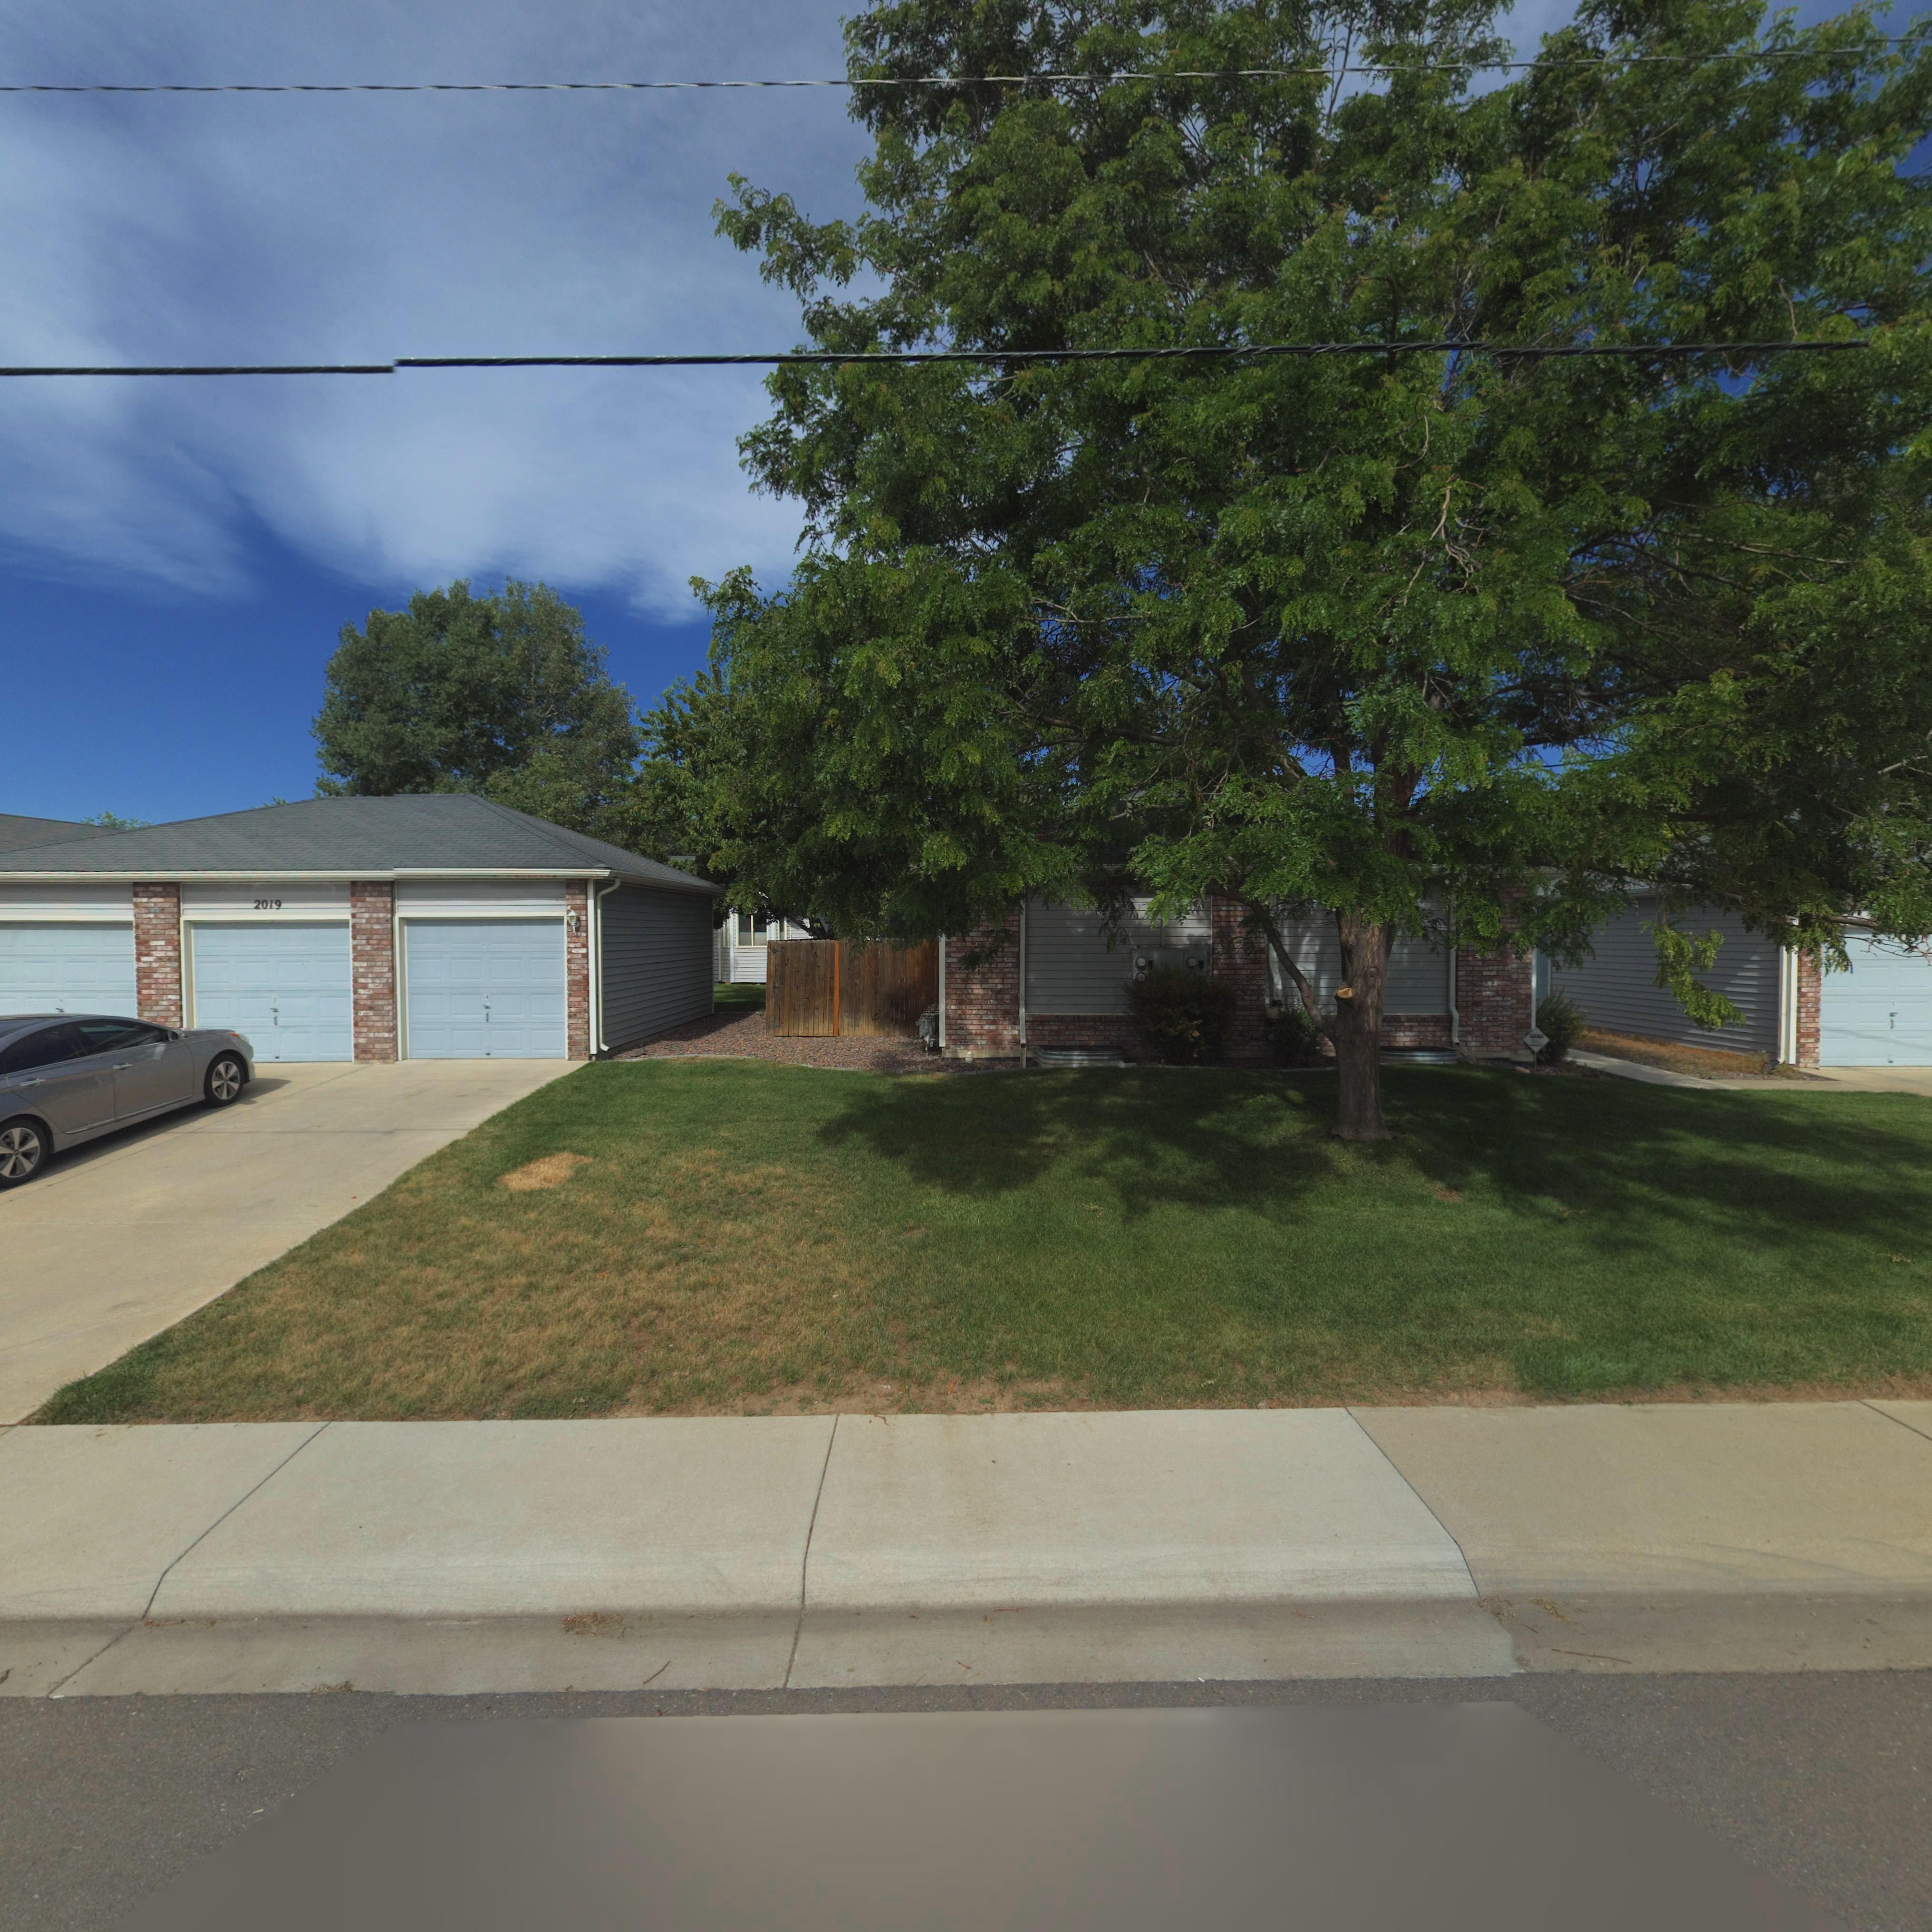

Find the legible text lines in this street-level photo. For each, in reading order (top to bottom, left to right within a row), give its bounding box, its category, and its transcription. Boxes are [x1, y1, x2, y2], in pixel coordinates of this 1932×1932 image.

[252, 899, 281, 910] StreetNumber: 2019